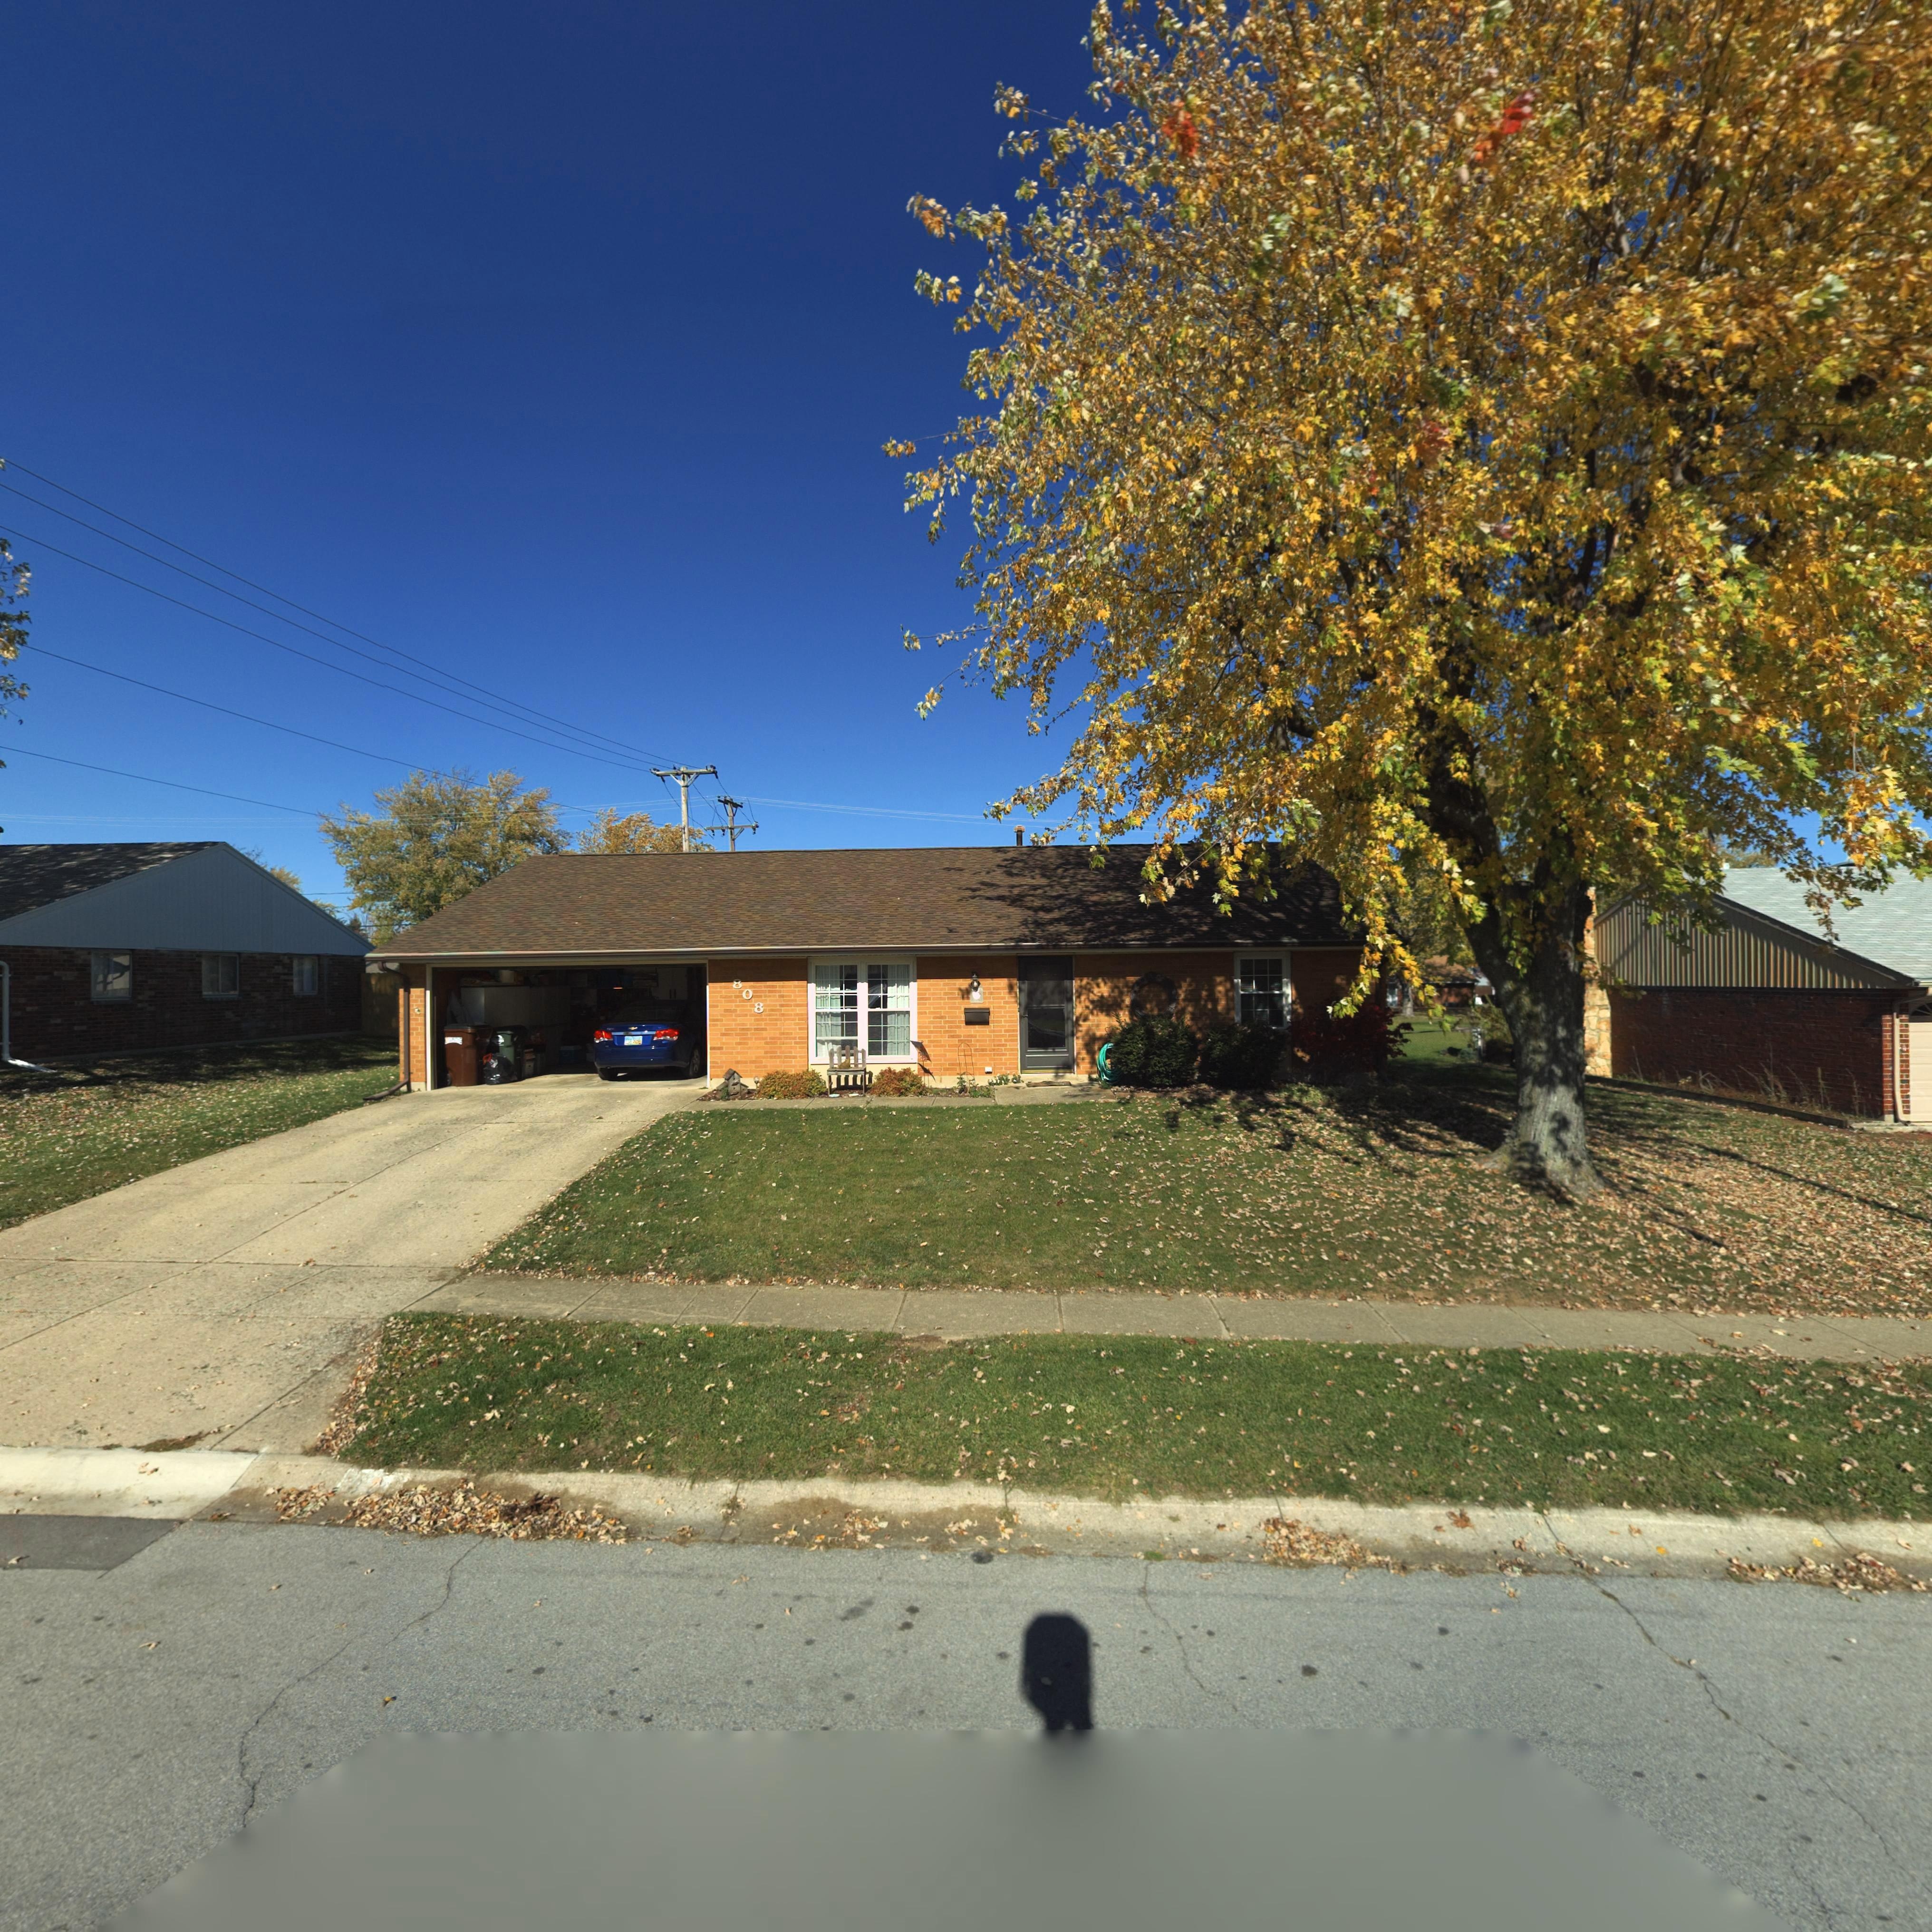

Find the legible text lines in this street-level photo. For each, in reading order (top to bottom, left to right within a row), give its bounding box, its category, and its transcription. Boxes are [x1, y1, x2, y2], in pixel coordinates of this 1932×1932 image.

[732, 978, 764, 1014] StreetNumber: 808